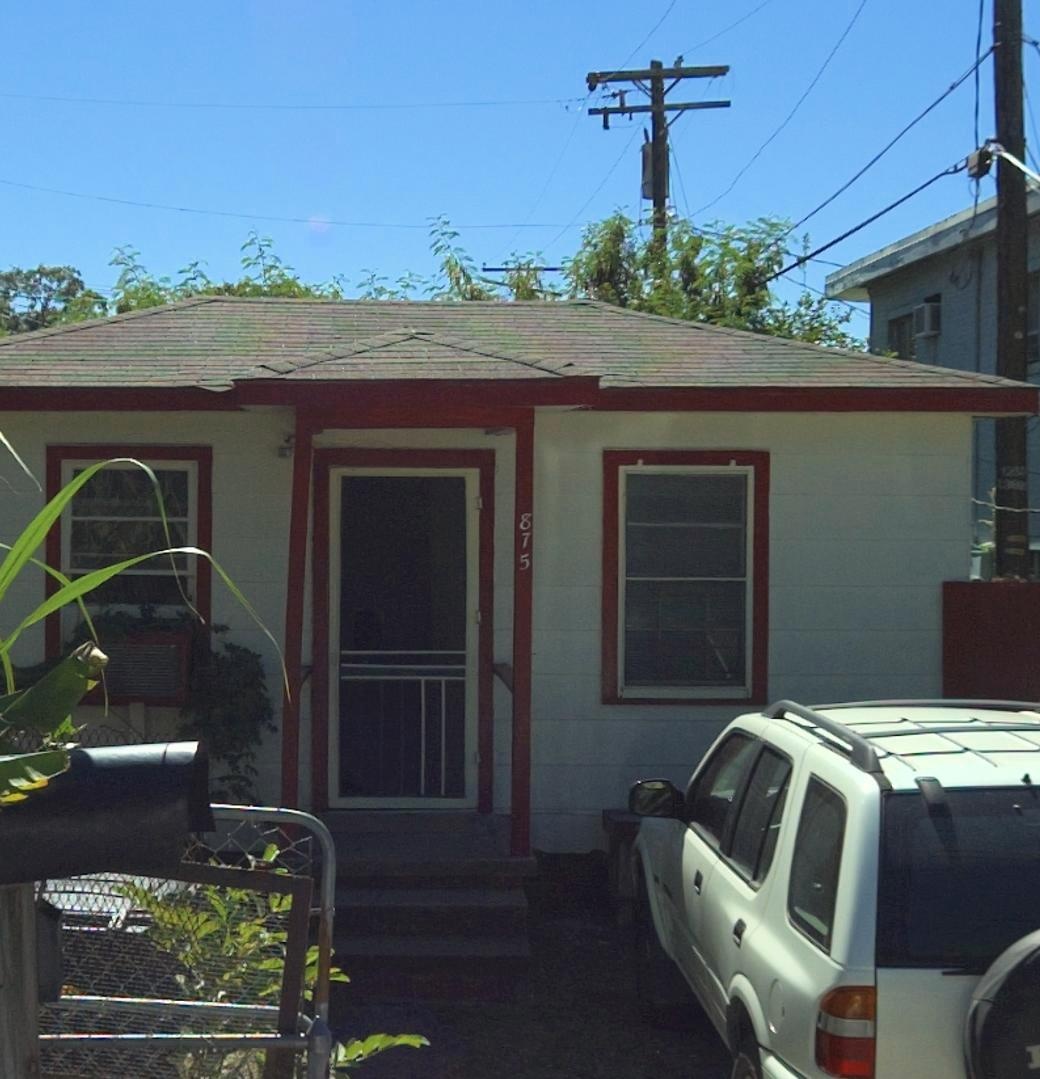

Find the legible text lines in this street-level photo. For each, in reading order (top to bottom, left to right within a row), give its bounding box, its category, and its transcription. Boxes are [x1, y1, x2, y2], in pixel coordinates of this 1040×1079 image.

[517, 511, 533, 573] StreetNumber: 875